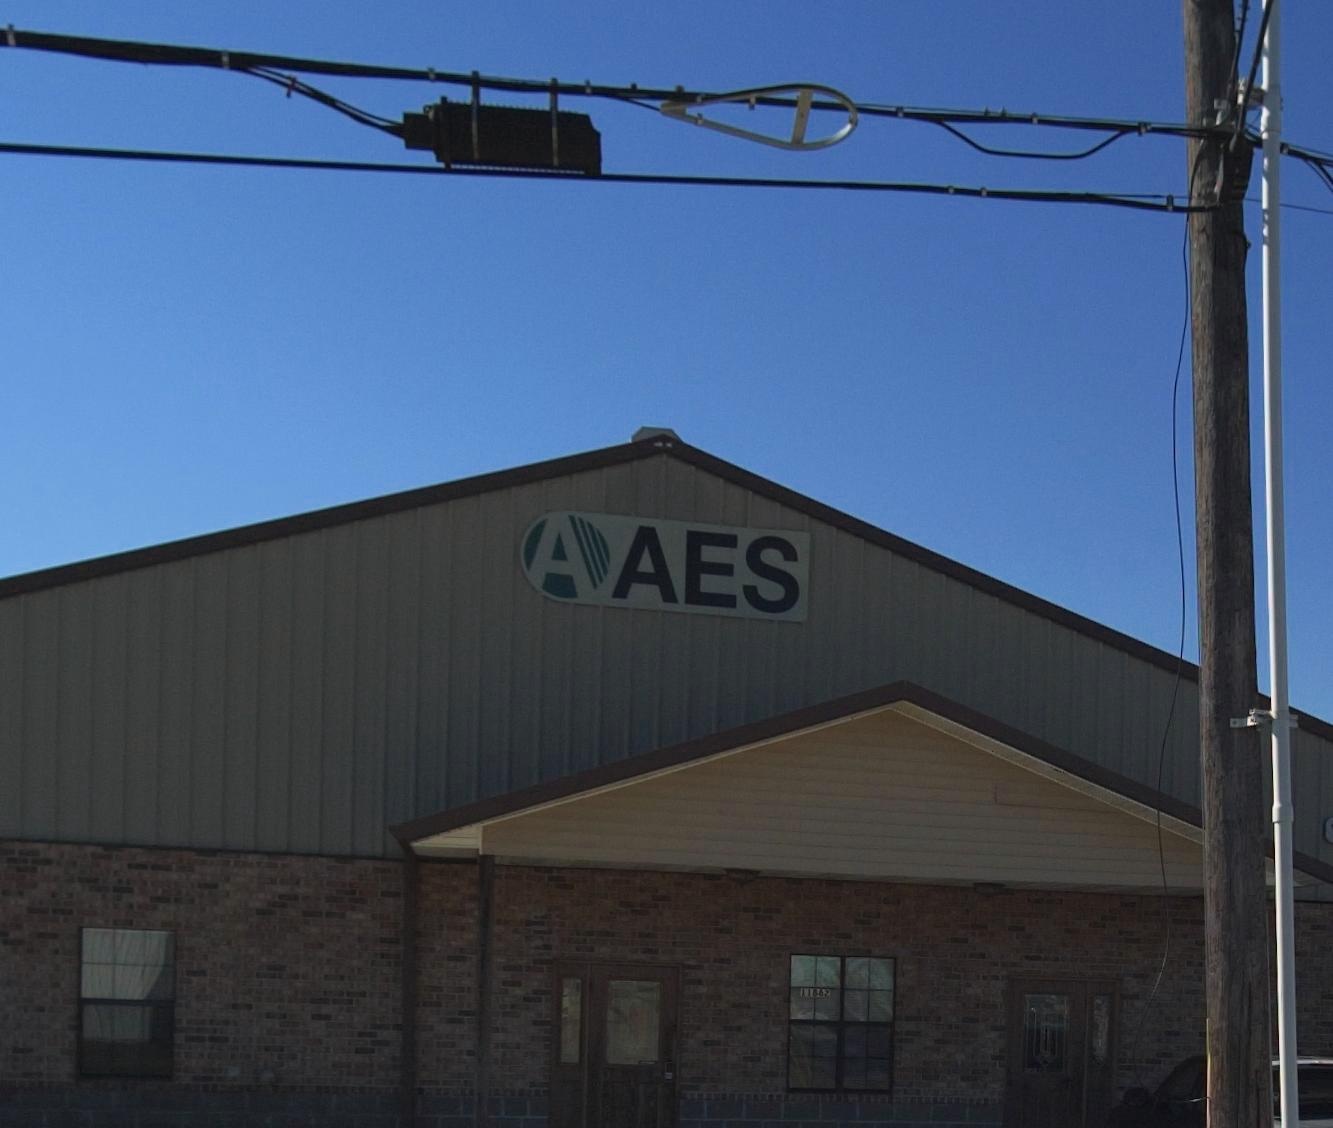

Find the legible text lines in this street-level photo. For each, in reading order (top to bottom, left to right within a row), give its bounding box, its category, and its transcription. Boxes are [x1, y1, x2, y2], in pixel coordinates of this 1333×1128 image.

[522, 508, 598, 601] None: A
[606, 522, 802, 620] BusinessName: AES